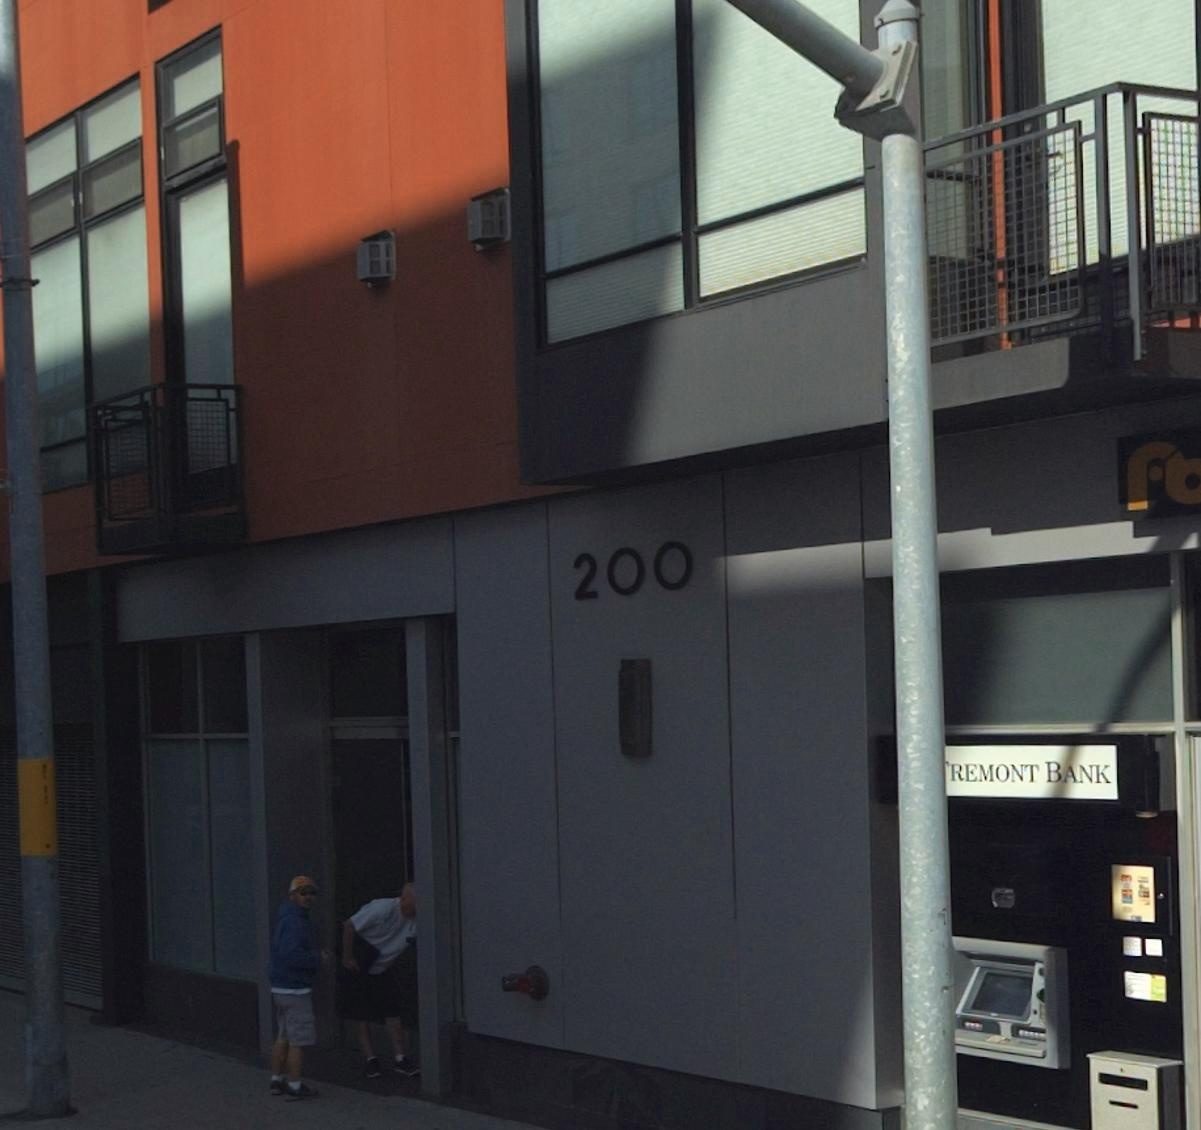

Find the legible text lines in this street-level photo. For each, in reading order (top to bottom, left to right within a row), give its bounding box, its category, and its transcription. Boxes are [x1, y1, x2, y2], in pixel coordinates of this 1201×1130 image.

[570, 534, 698, 606] StreetNumber: 200
[948, 759, 1116, 787] BusinessName: REMONT BANK